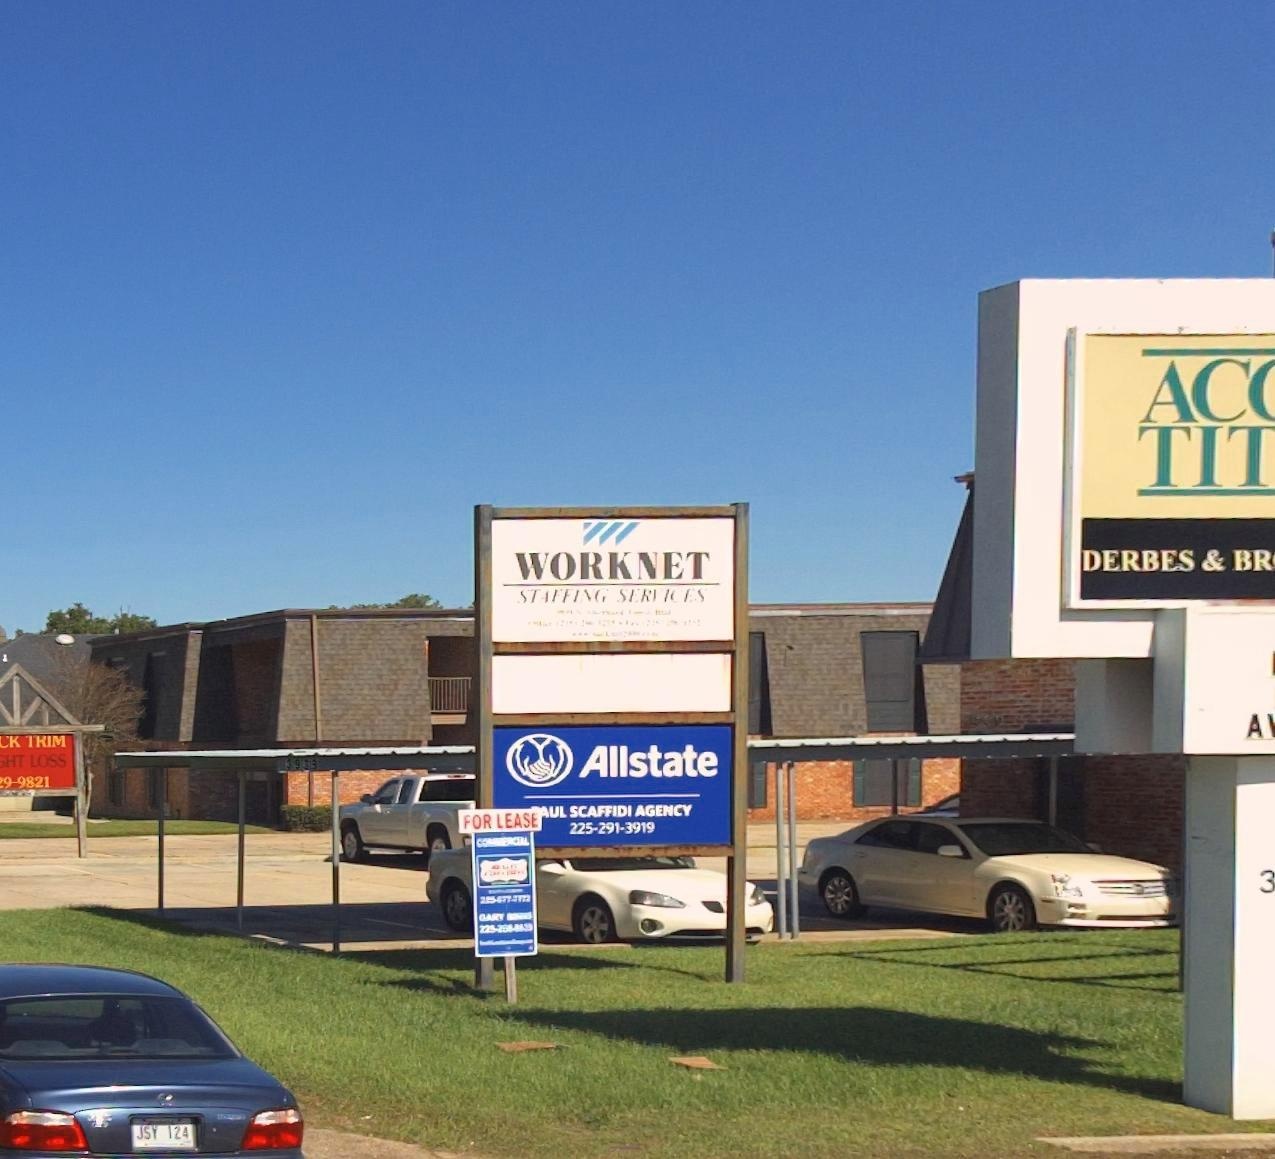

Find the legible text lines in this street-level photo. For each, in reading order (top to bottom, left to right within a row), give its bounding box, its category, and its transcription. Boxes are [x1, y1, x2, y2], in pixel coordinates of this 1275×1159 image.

[1133, 354, 1254, 425] BusinessName: AC
[1135, 423, 1227, 490] BusinessName: TI
[511, 548, 712, 583] BusinessName: WORKNET
[1078, 546, 1274, 575] BusinessName: DERBES & BR
[512, 585, 711, 606] BusinessName: STAFFING SERVICES
[1241, 710, 1268, 742] None: A
[23, 733, 69, 749] BusinessName: TRIM
[3, 752, 70, 770] None: HT LOSS
[284, 756, 321, 771] StreetNumber: 39**
[570, 741, 723, 781] BusinessName: Allstate
[2, 774, 52, 791] None: 9-9821
[460, 809, 542, 832] None: FOR LEASE
[566, 819, 657, 838] None: 225-291-3919
[547, 800, 697, 821] None: UL-SCAFFIDI AGENCY
[1259, 866, 1275, 896] StreetNumber: 3
[477, 923, 493, 935] None: 22
[135, 1121, 191, 1142] None: JSY 124